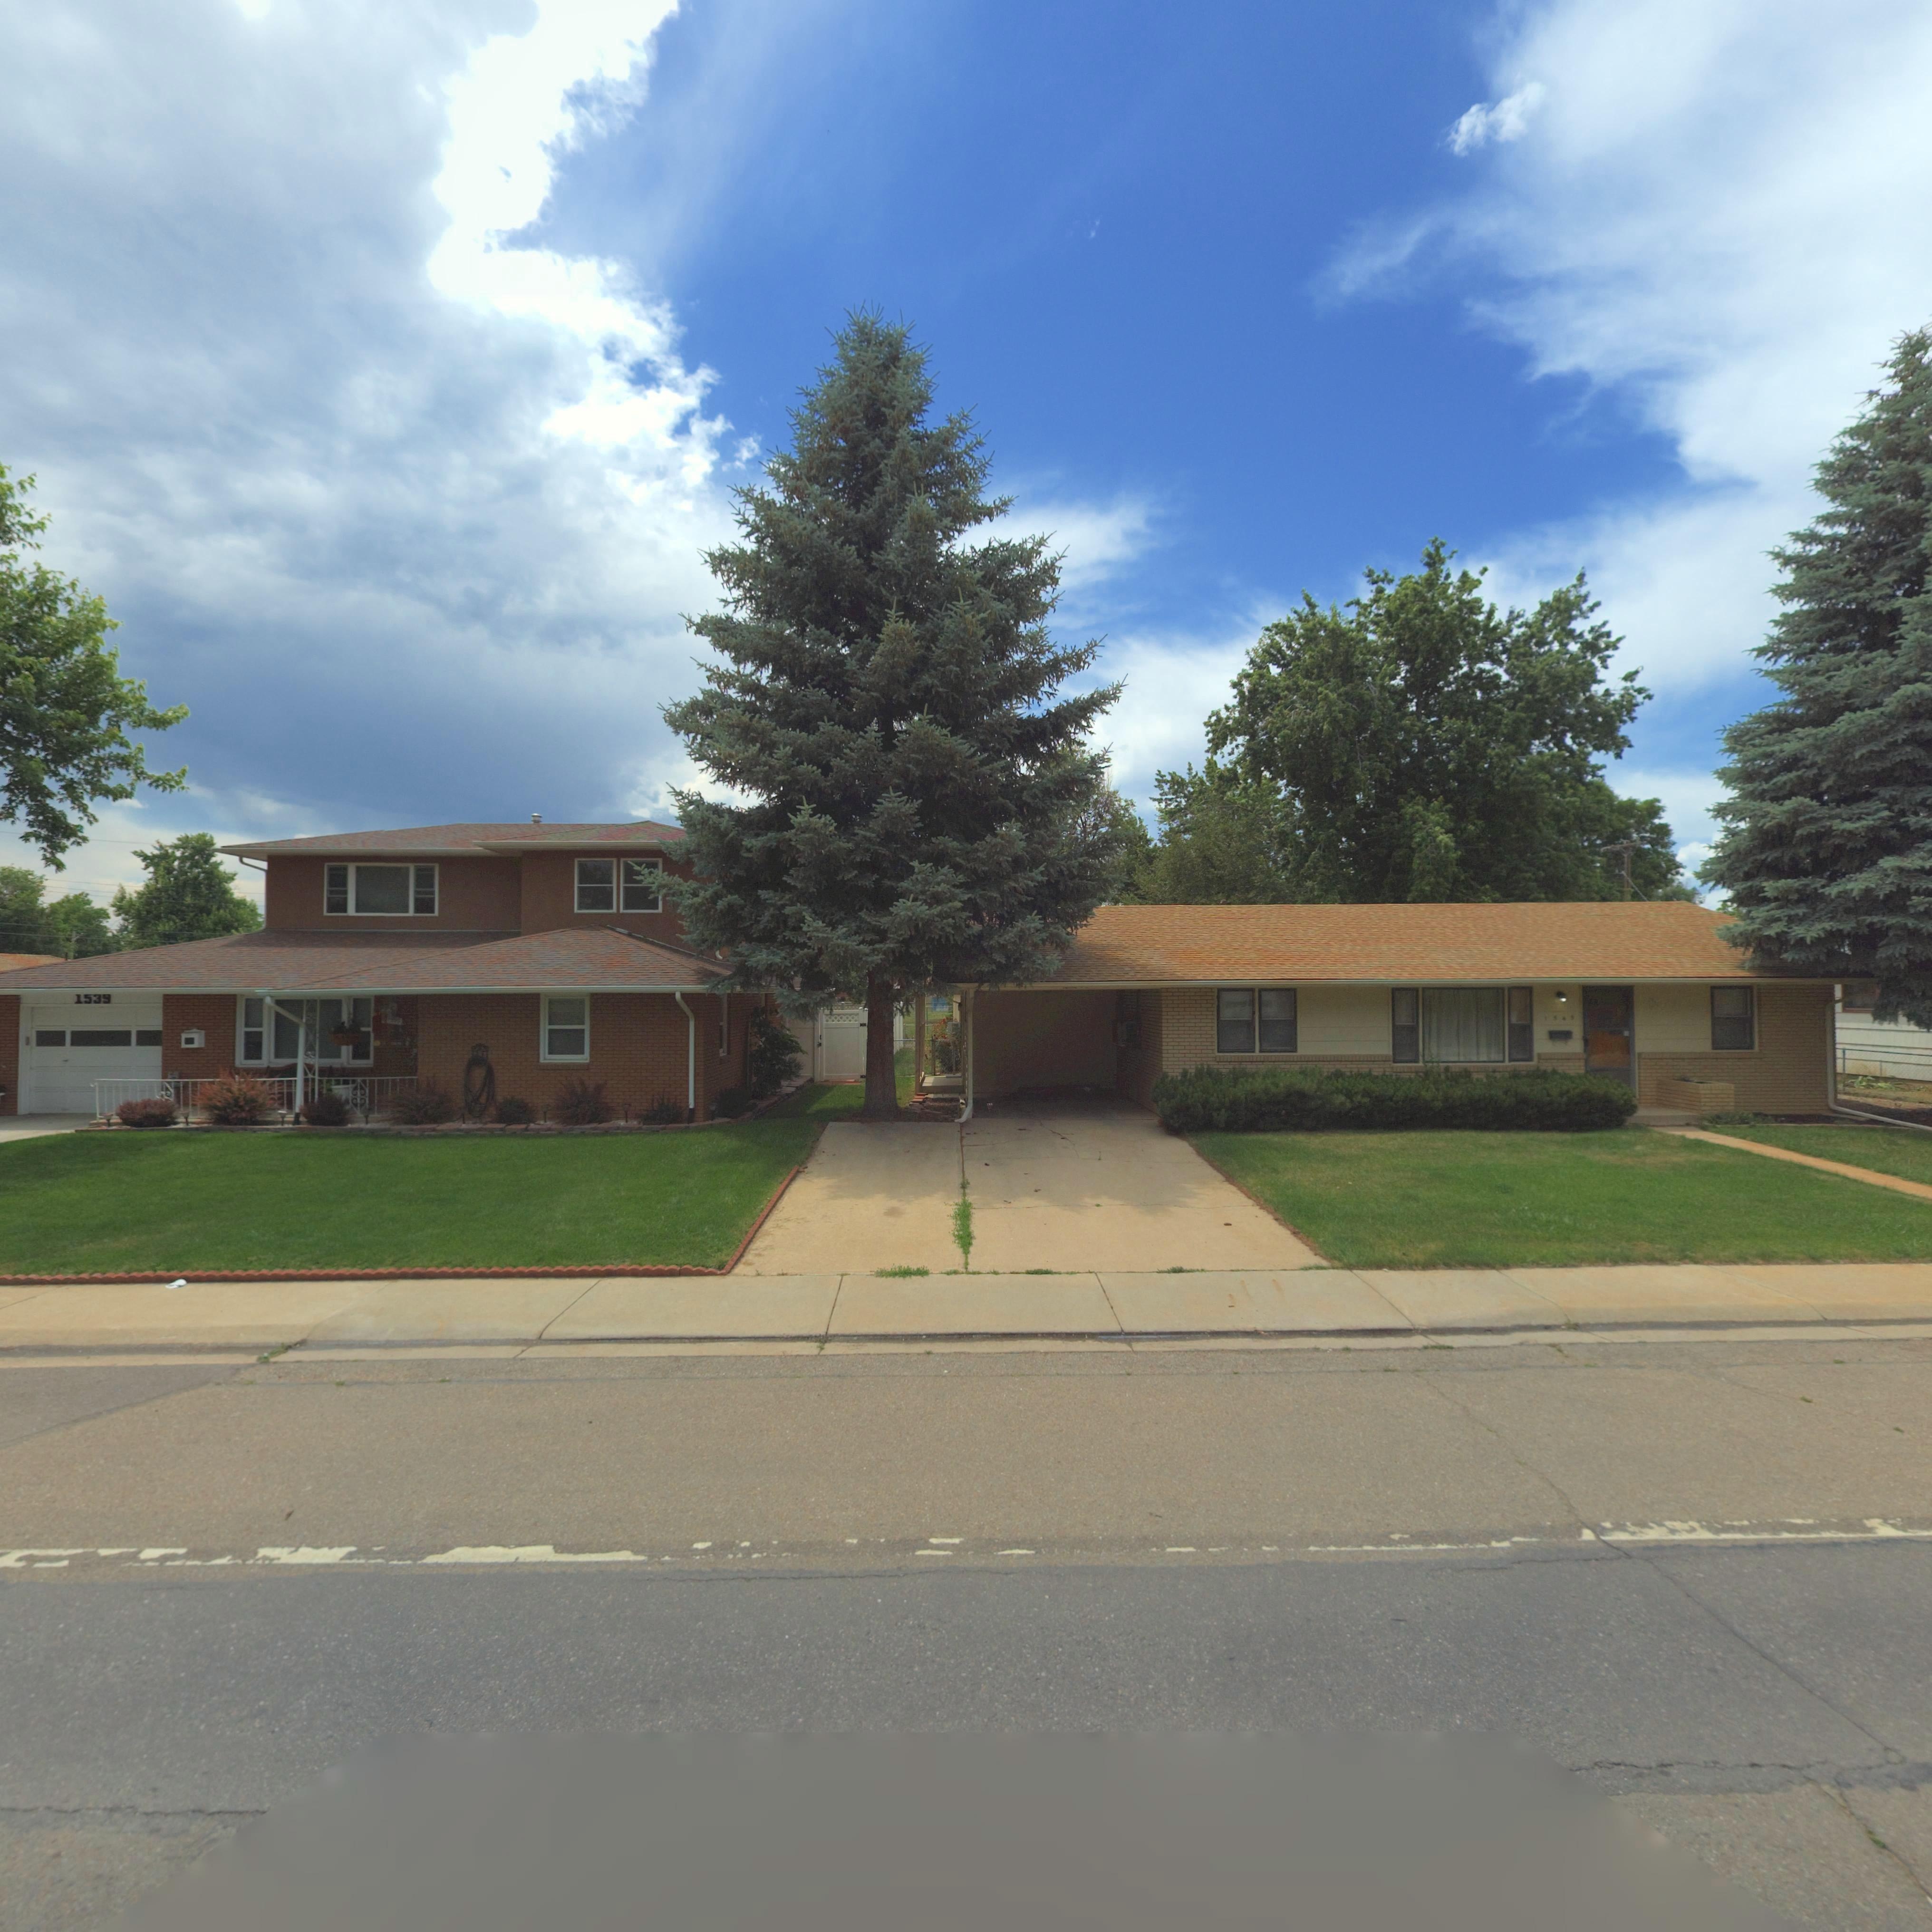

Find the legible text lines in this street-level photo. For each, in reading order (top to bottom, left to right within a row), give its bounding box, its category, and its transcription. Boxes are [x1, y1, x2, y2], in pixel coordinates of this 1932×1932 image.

[74, 993, 112, 1005] StreetNumber: 1539
[1544, 1014, 1575, 1021] StreetNumber: 1569